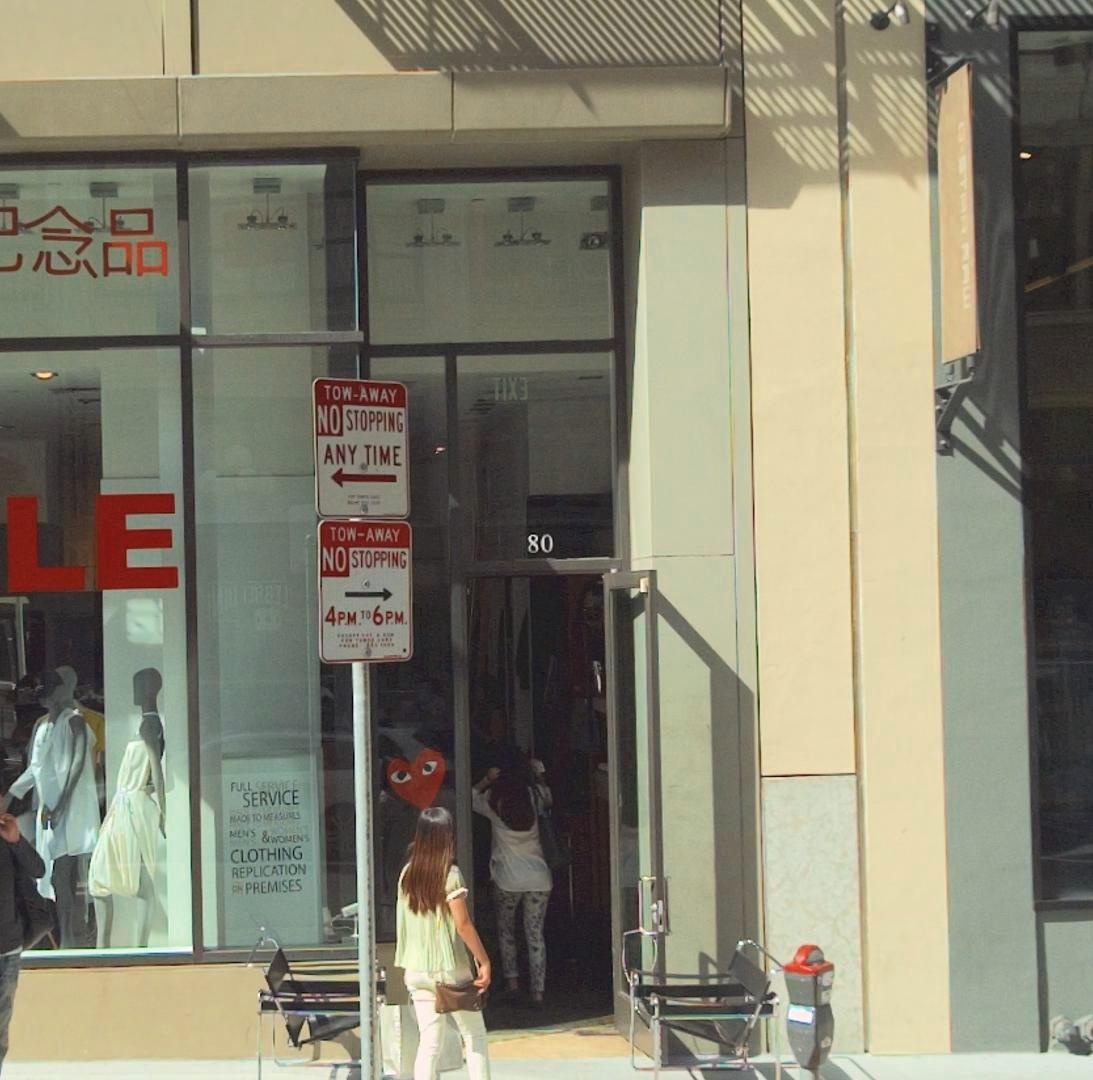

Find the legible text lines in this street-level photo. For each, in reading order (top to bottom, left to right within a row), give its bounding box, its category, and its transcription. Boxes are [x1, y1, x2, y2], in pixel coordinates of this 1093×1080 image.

[321, 383, 400, 406] None: TOW-AWAY
[489, 376, 530, 403] None: TIX*
[316, 403, 405, 436] None: NO STOPPING
[321, 443, 404, 466] None: ANY TIME
[3, 491, 182, 595] BusinessName: LE
[326, 526, 402, 544] None: TOW-AWAY
[525, 532, 554, 556] StreetNumber: 80
[320, 545, 408, 573] None: NO STOPPING
[323, 603, 411, 629] None: 4P.M. TO 6P.M.
[228, 778, 300, 792] None: FULL SERVICE
[242, 789, 300, 807] None: SERVICE
[230, 844, 305, 864] None: CLOTHING
[230, 862, 308, 879] None: REPLICATION
[244, 877, 303, 896] None: PREMISES